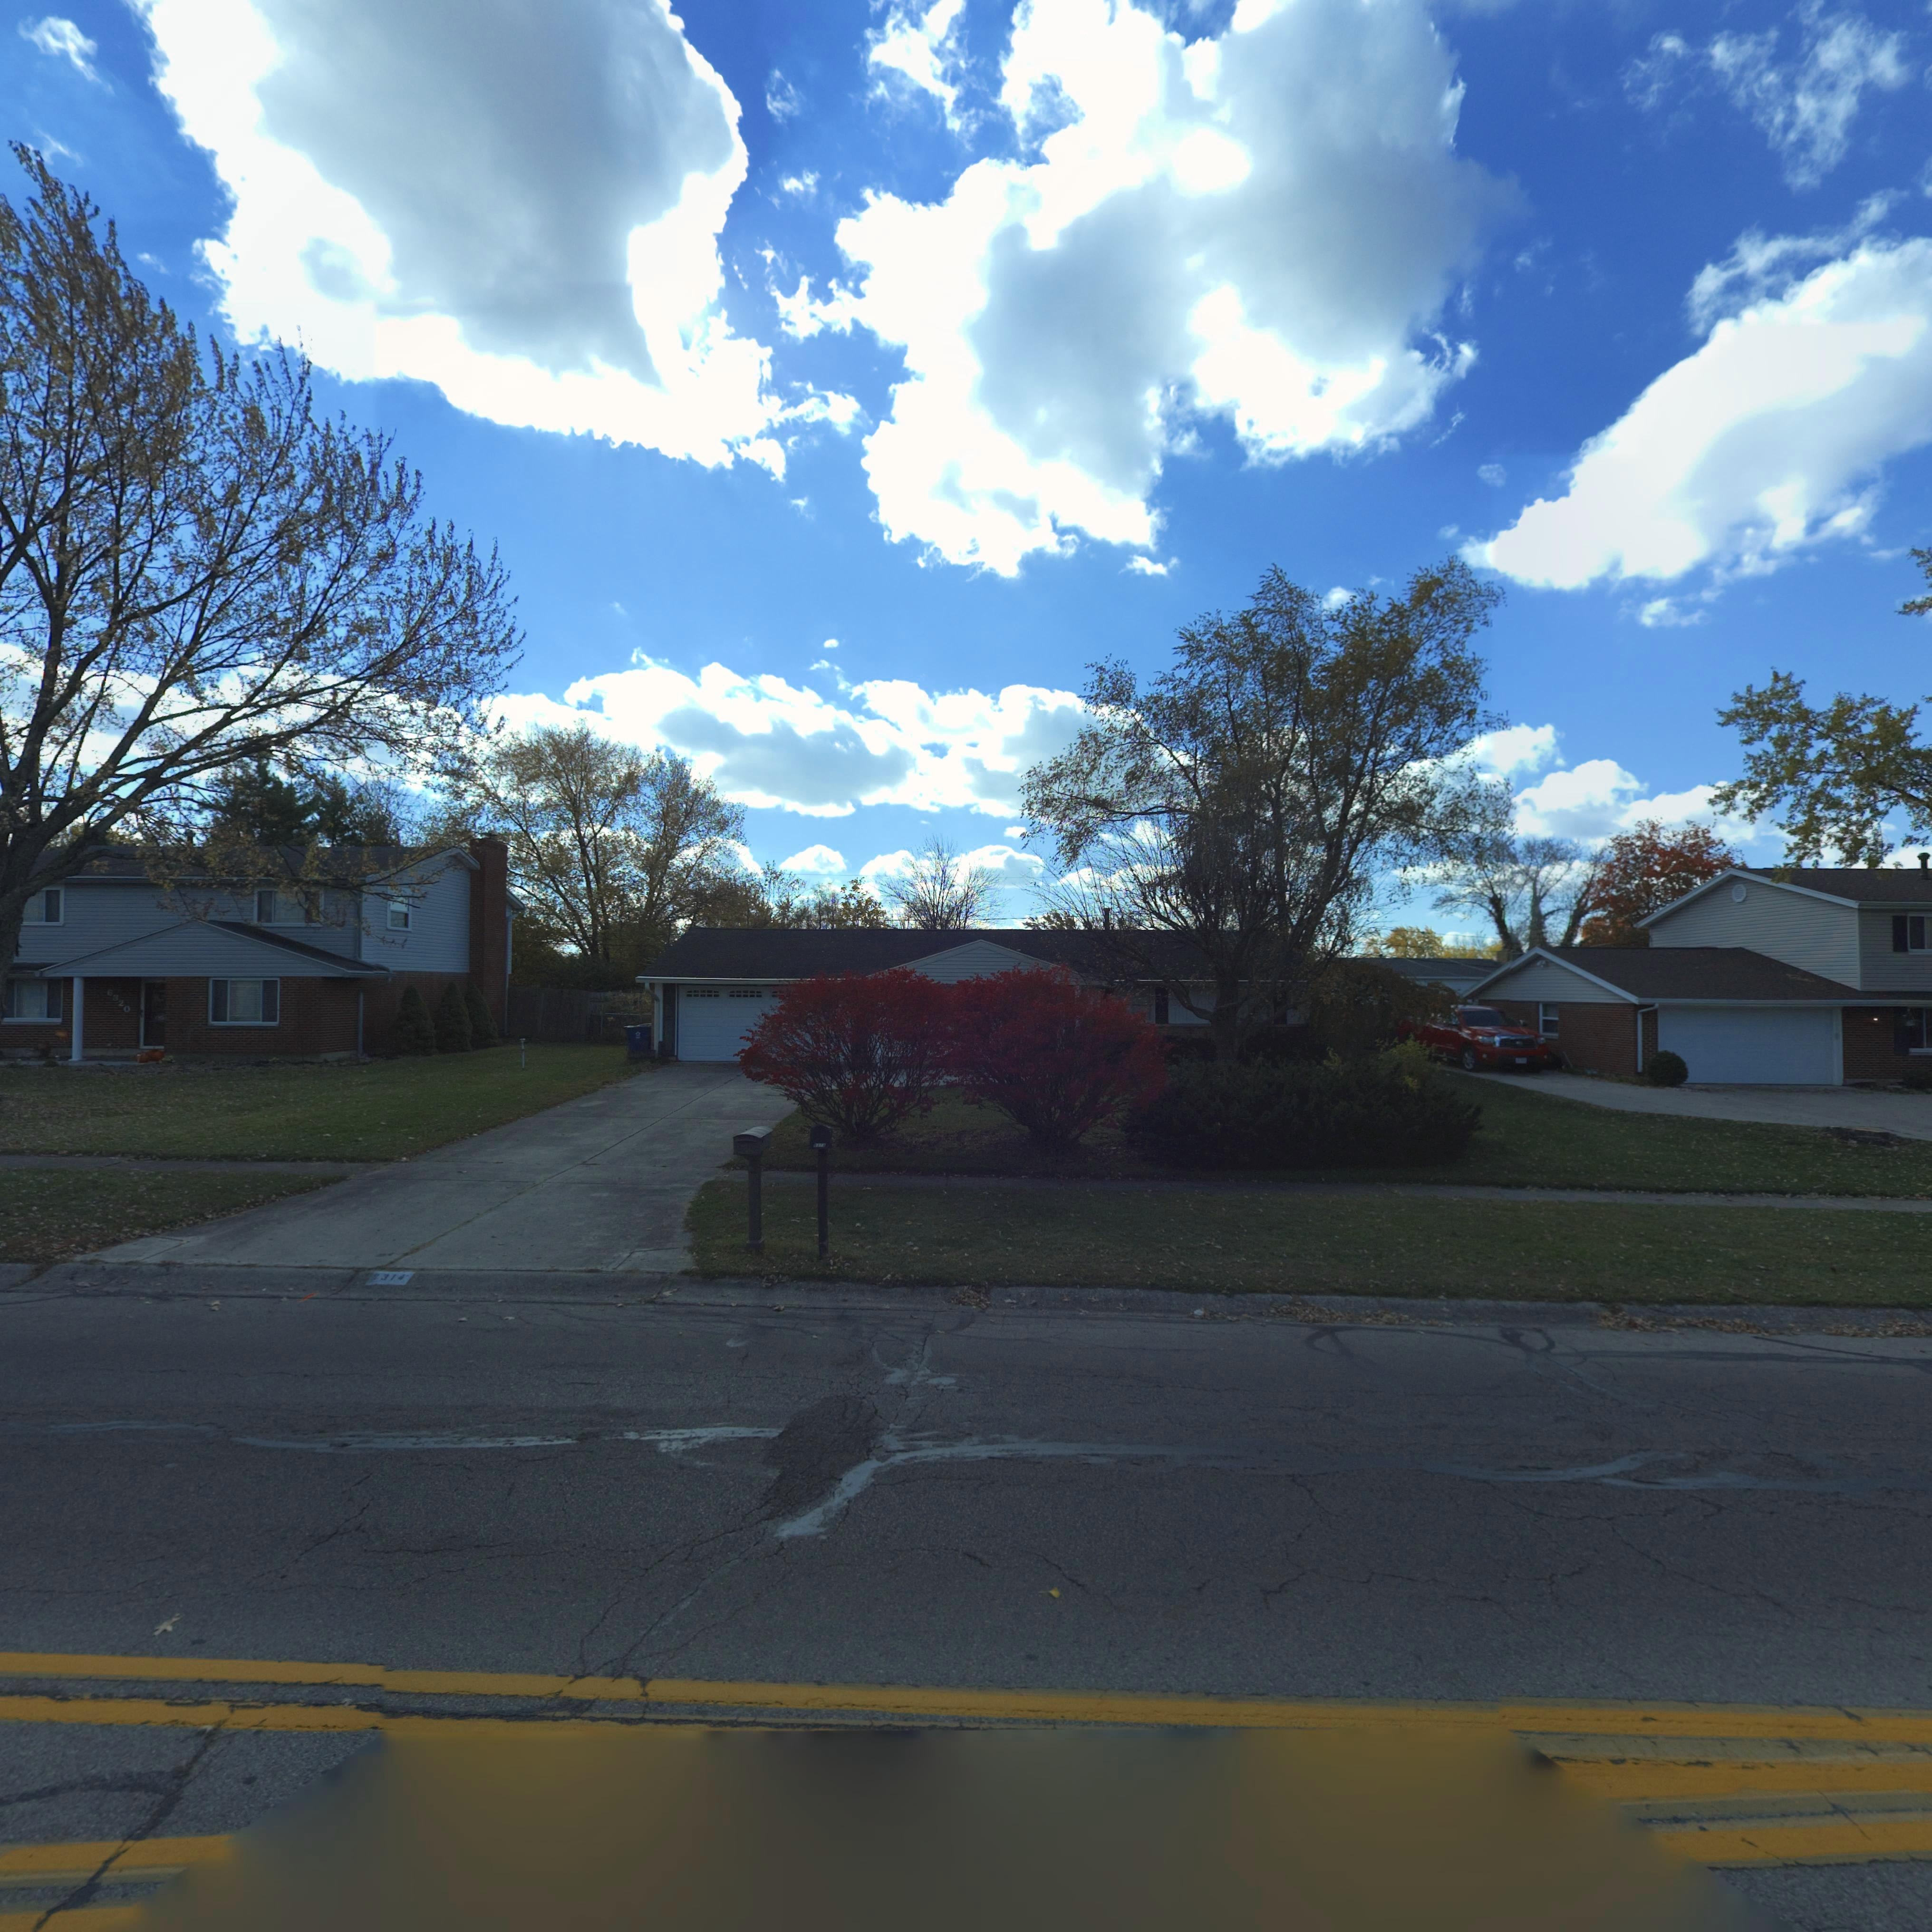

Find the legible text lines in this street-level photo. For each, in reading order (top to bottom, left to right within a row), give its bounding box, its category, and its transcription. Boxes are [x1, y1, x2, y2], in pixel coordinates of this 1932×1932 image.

[106, 988, 132, 1013] StreetNumber: 6320
[379, 1272, 406, 1282] StreetNumber: 314